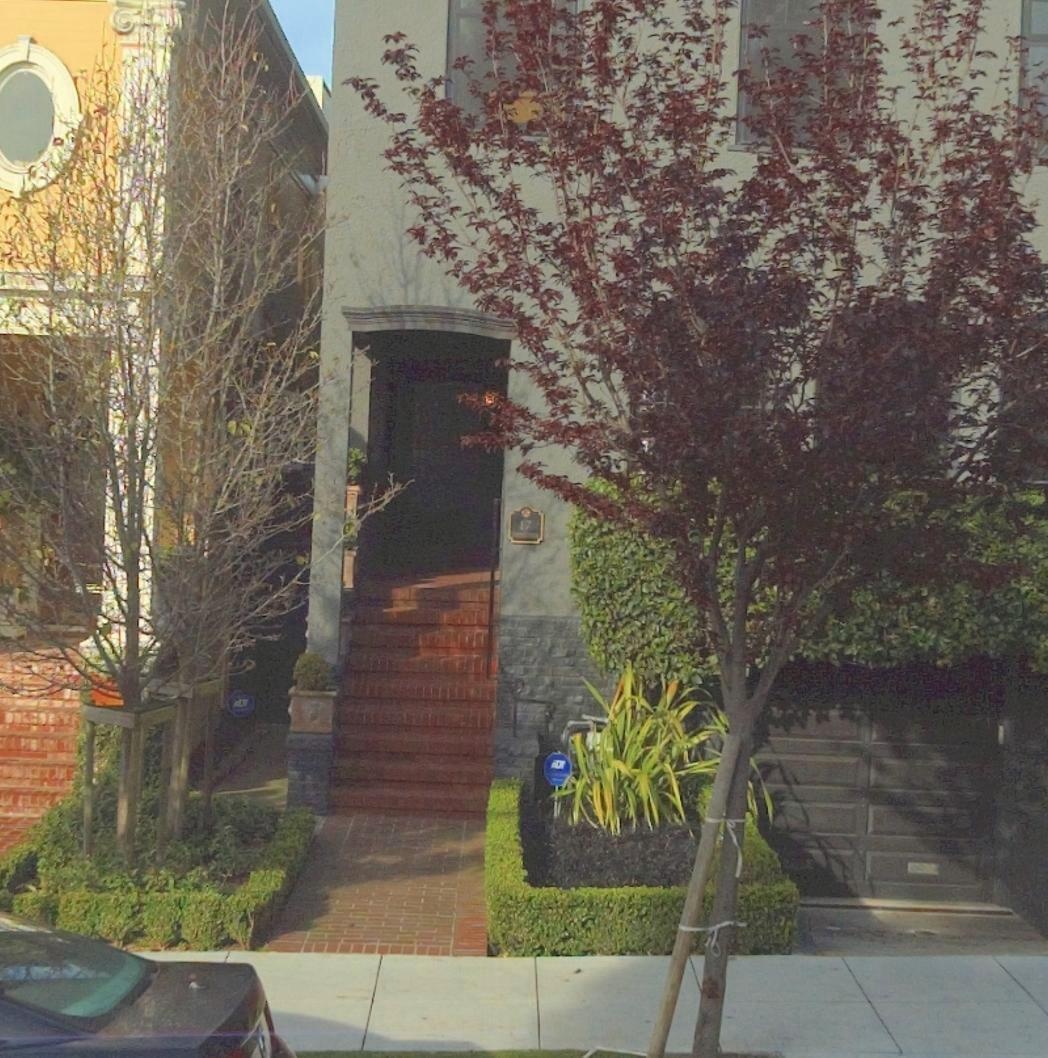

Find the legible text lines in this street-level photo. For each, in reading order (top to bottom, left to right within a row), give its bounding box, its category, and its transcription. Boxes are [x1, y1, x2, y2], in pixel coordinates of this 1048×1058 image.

[517, 518, 534, 532] StreetNumber: 17